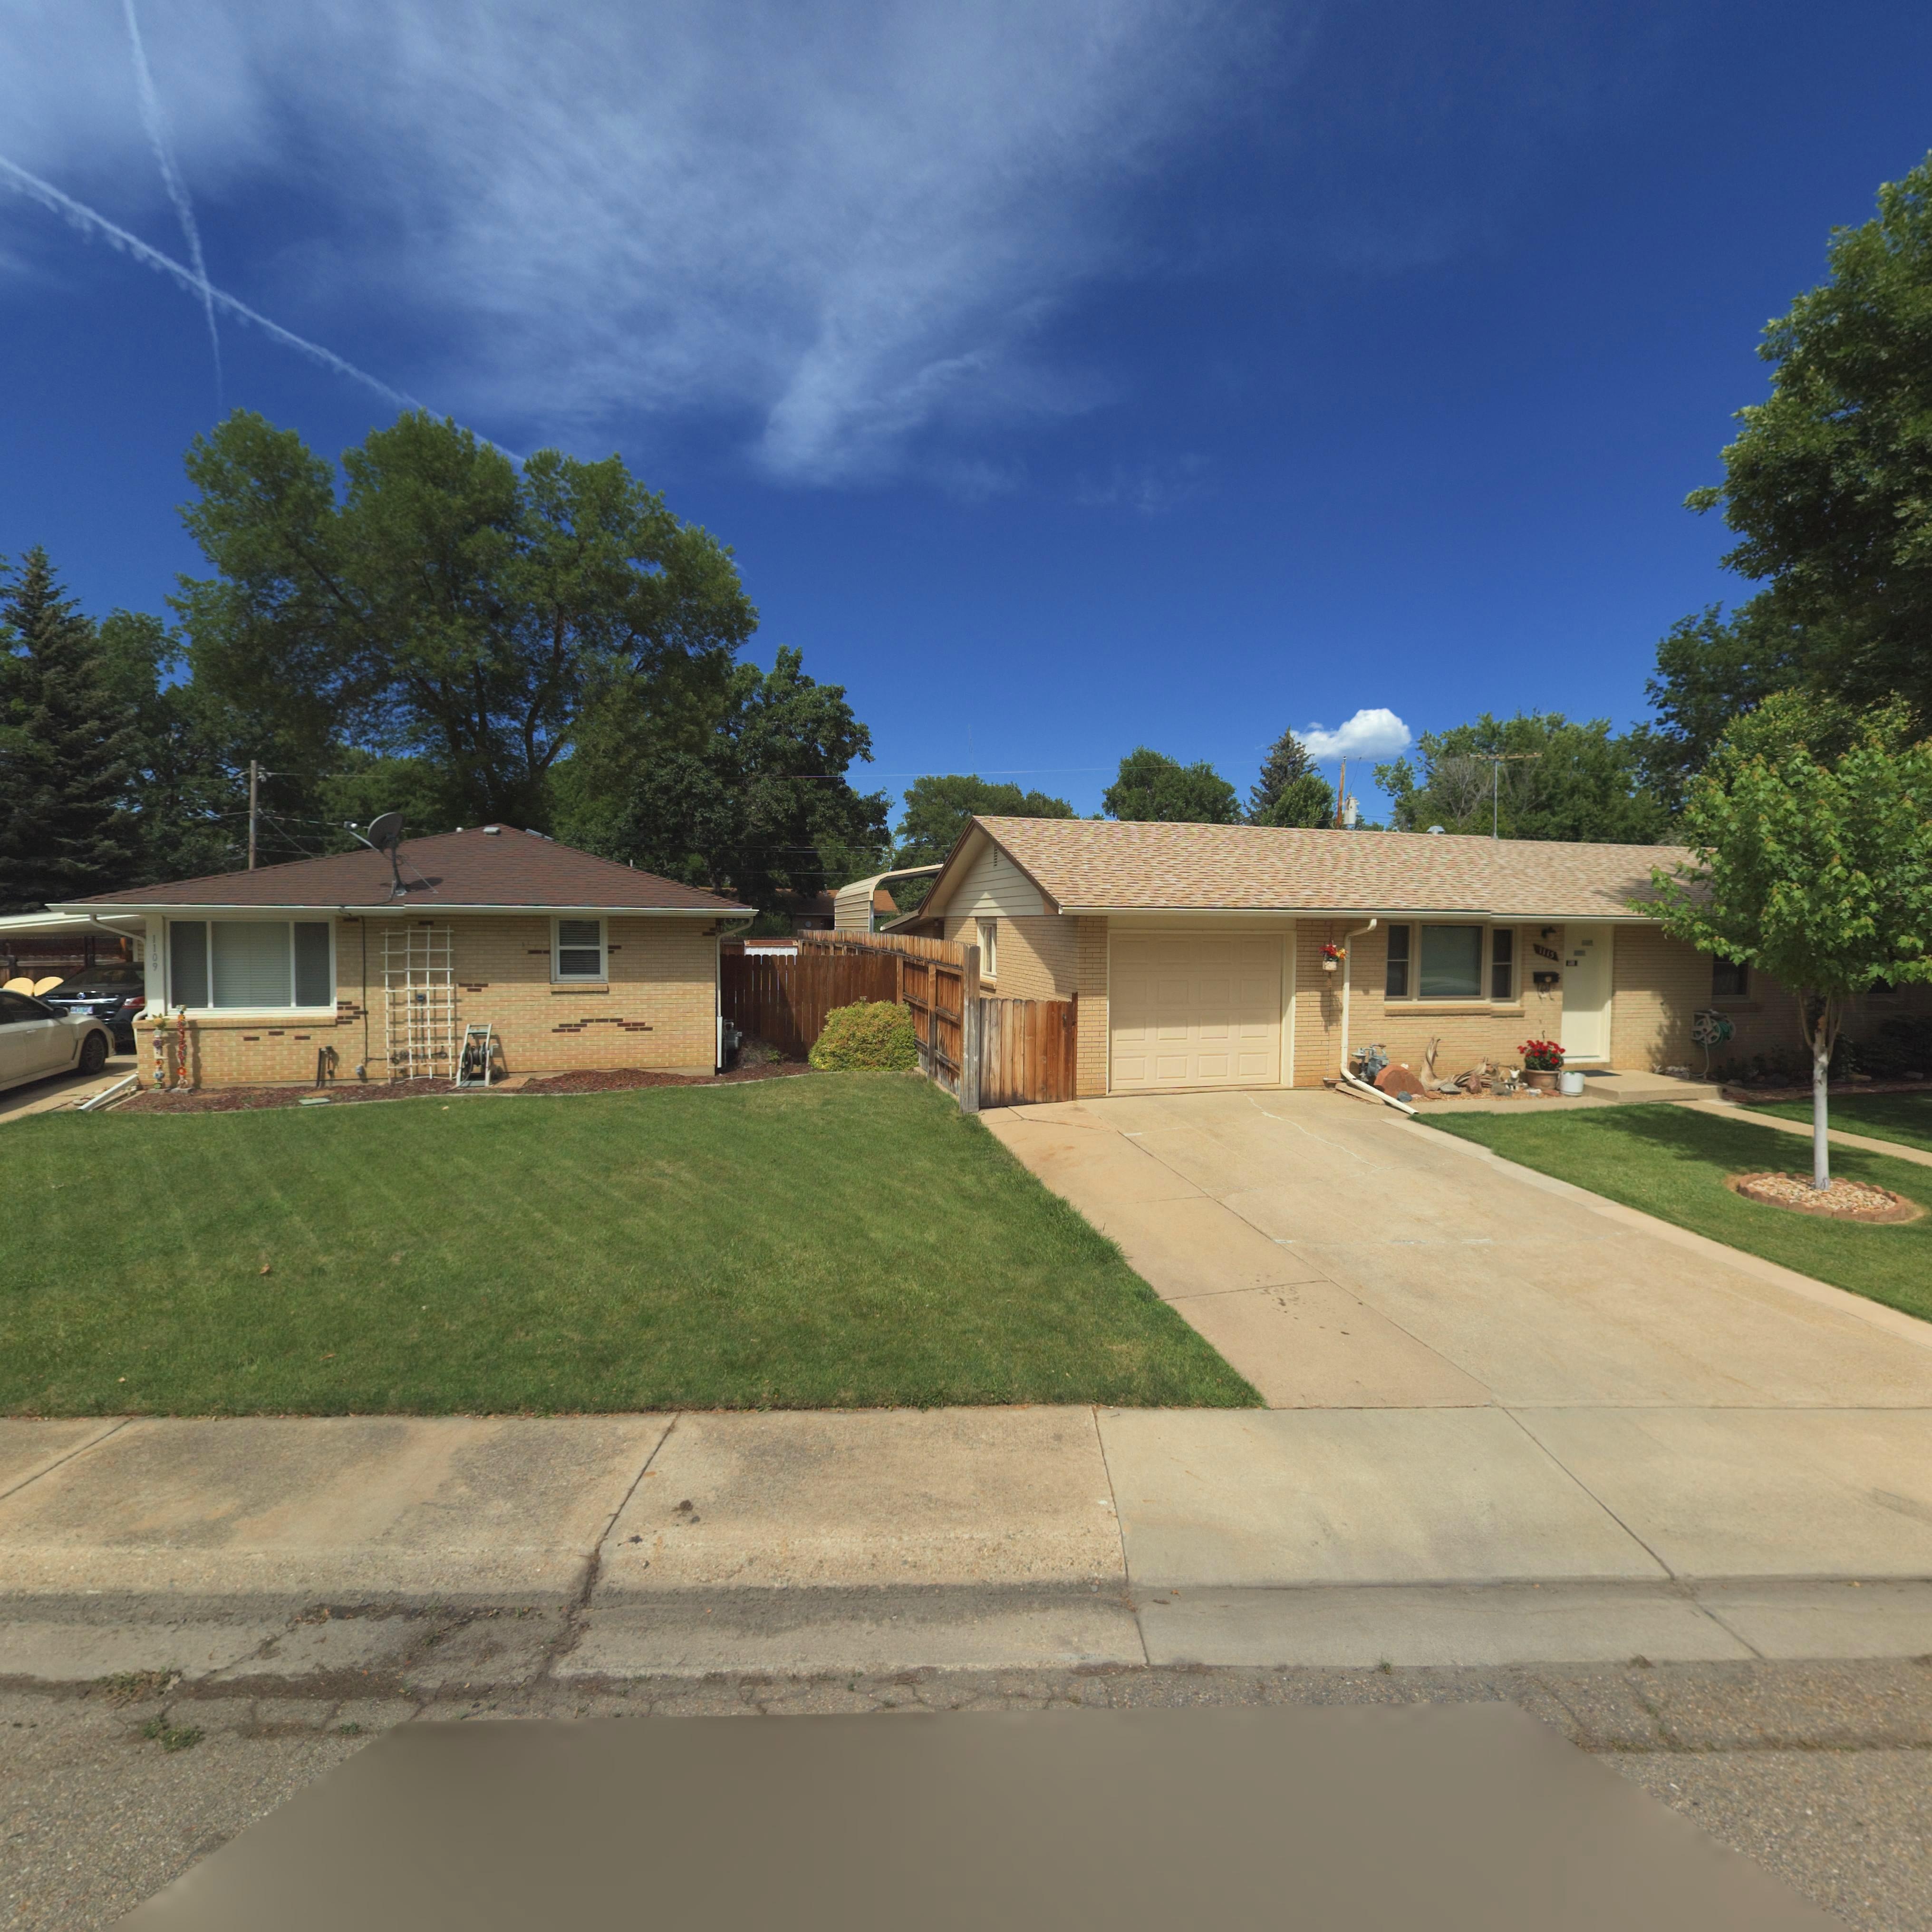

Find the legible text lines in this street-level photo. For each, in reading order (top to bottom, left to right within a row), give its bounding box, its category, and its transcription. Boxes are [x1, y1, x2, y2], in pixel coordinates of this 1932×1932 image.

[152, 934, 158, 972] StreetNumber: 1109
[1538, 946, 1555, 958] StreetNumber: 1115